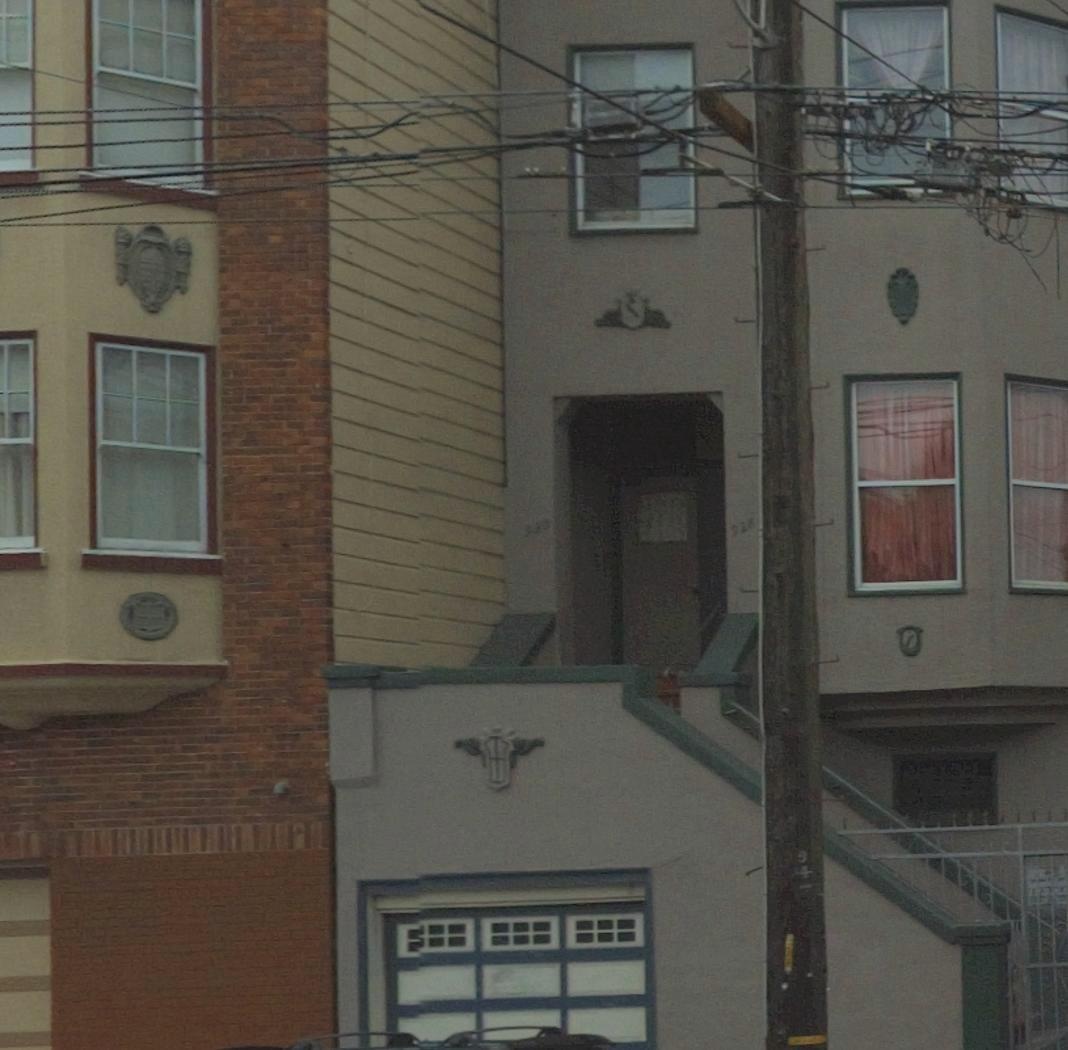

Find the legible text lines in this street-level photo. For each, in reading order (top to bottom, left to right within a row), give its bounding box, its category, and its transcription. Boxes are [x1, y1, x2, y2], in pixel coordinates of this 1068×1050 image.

[522, 517, 550, 540] StreetNumber: 930
[729, 515, 759, 539] StreetNumber: 928
[795, 847, 814, 880] None: 94